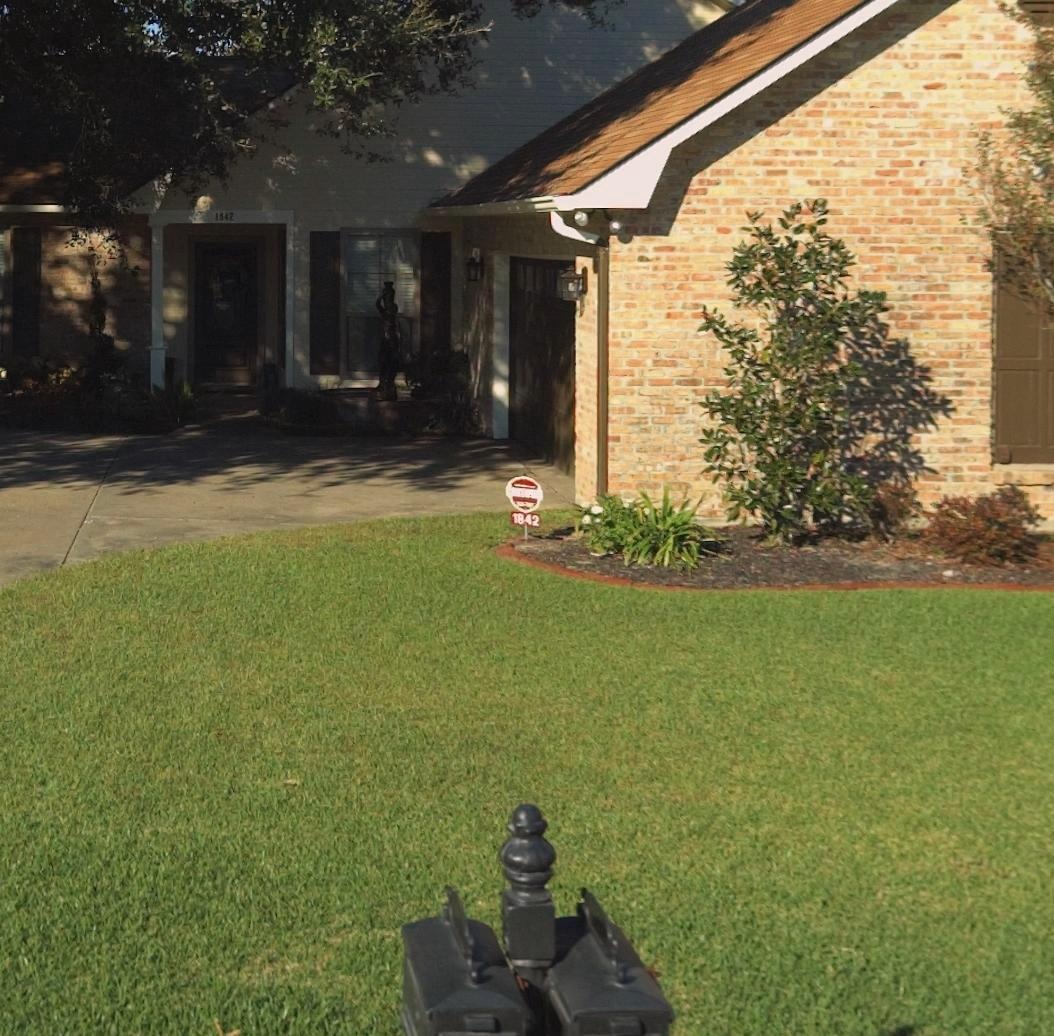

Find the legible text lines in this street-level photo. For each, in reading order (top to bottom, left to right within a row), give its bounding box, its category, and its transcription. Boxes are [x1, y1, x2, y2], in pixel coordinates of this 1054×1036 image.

[213, 210, 236, 223] StreetNumber: 1842
[510, 510, 541, 528] StreetNumber: 1842